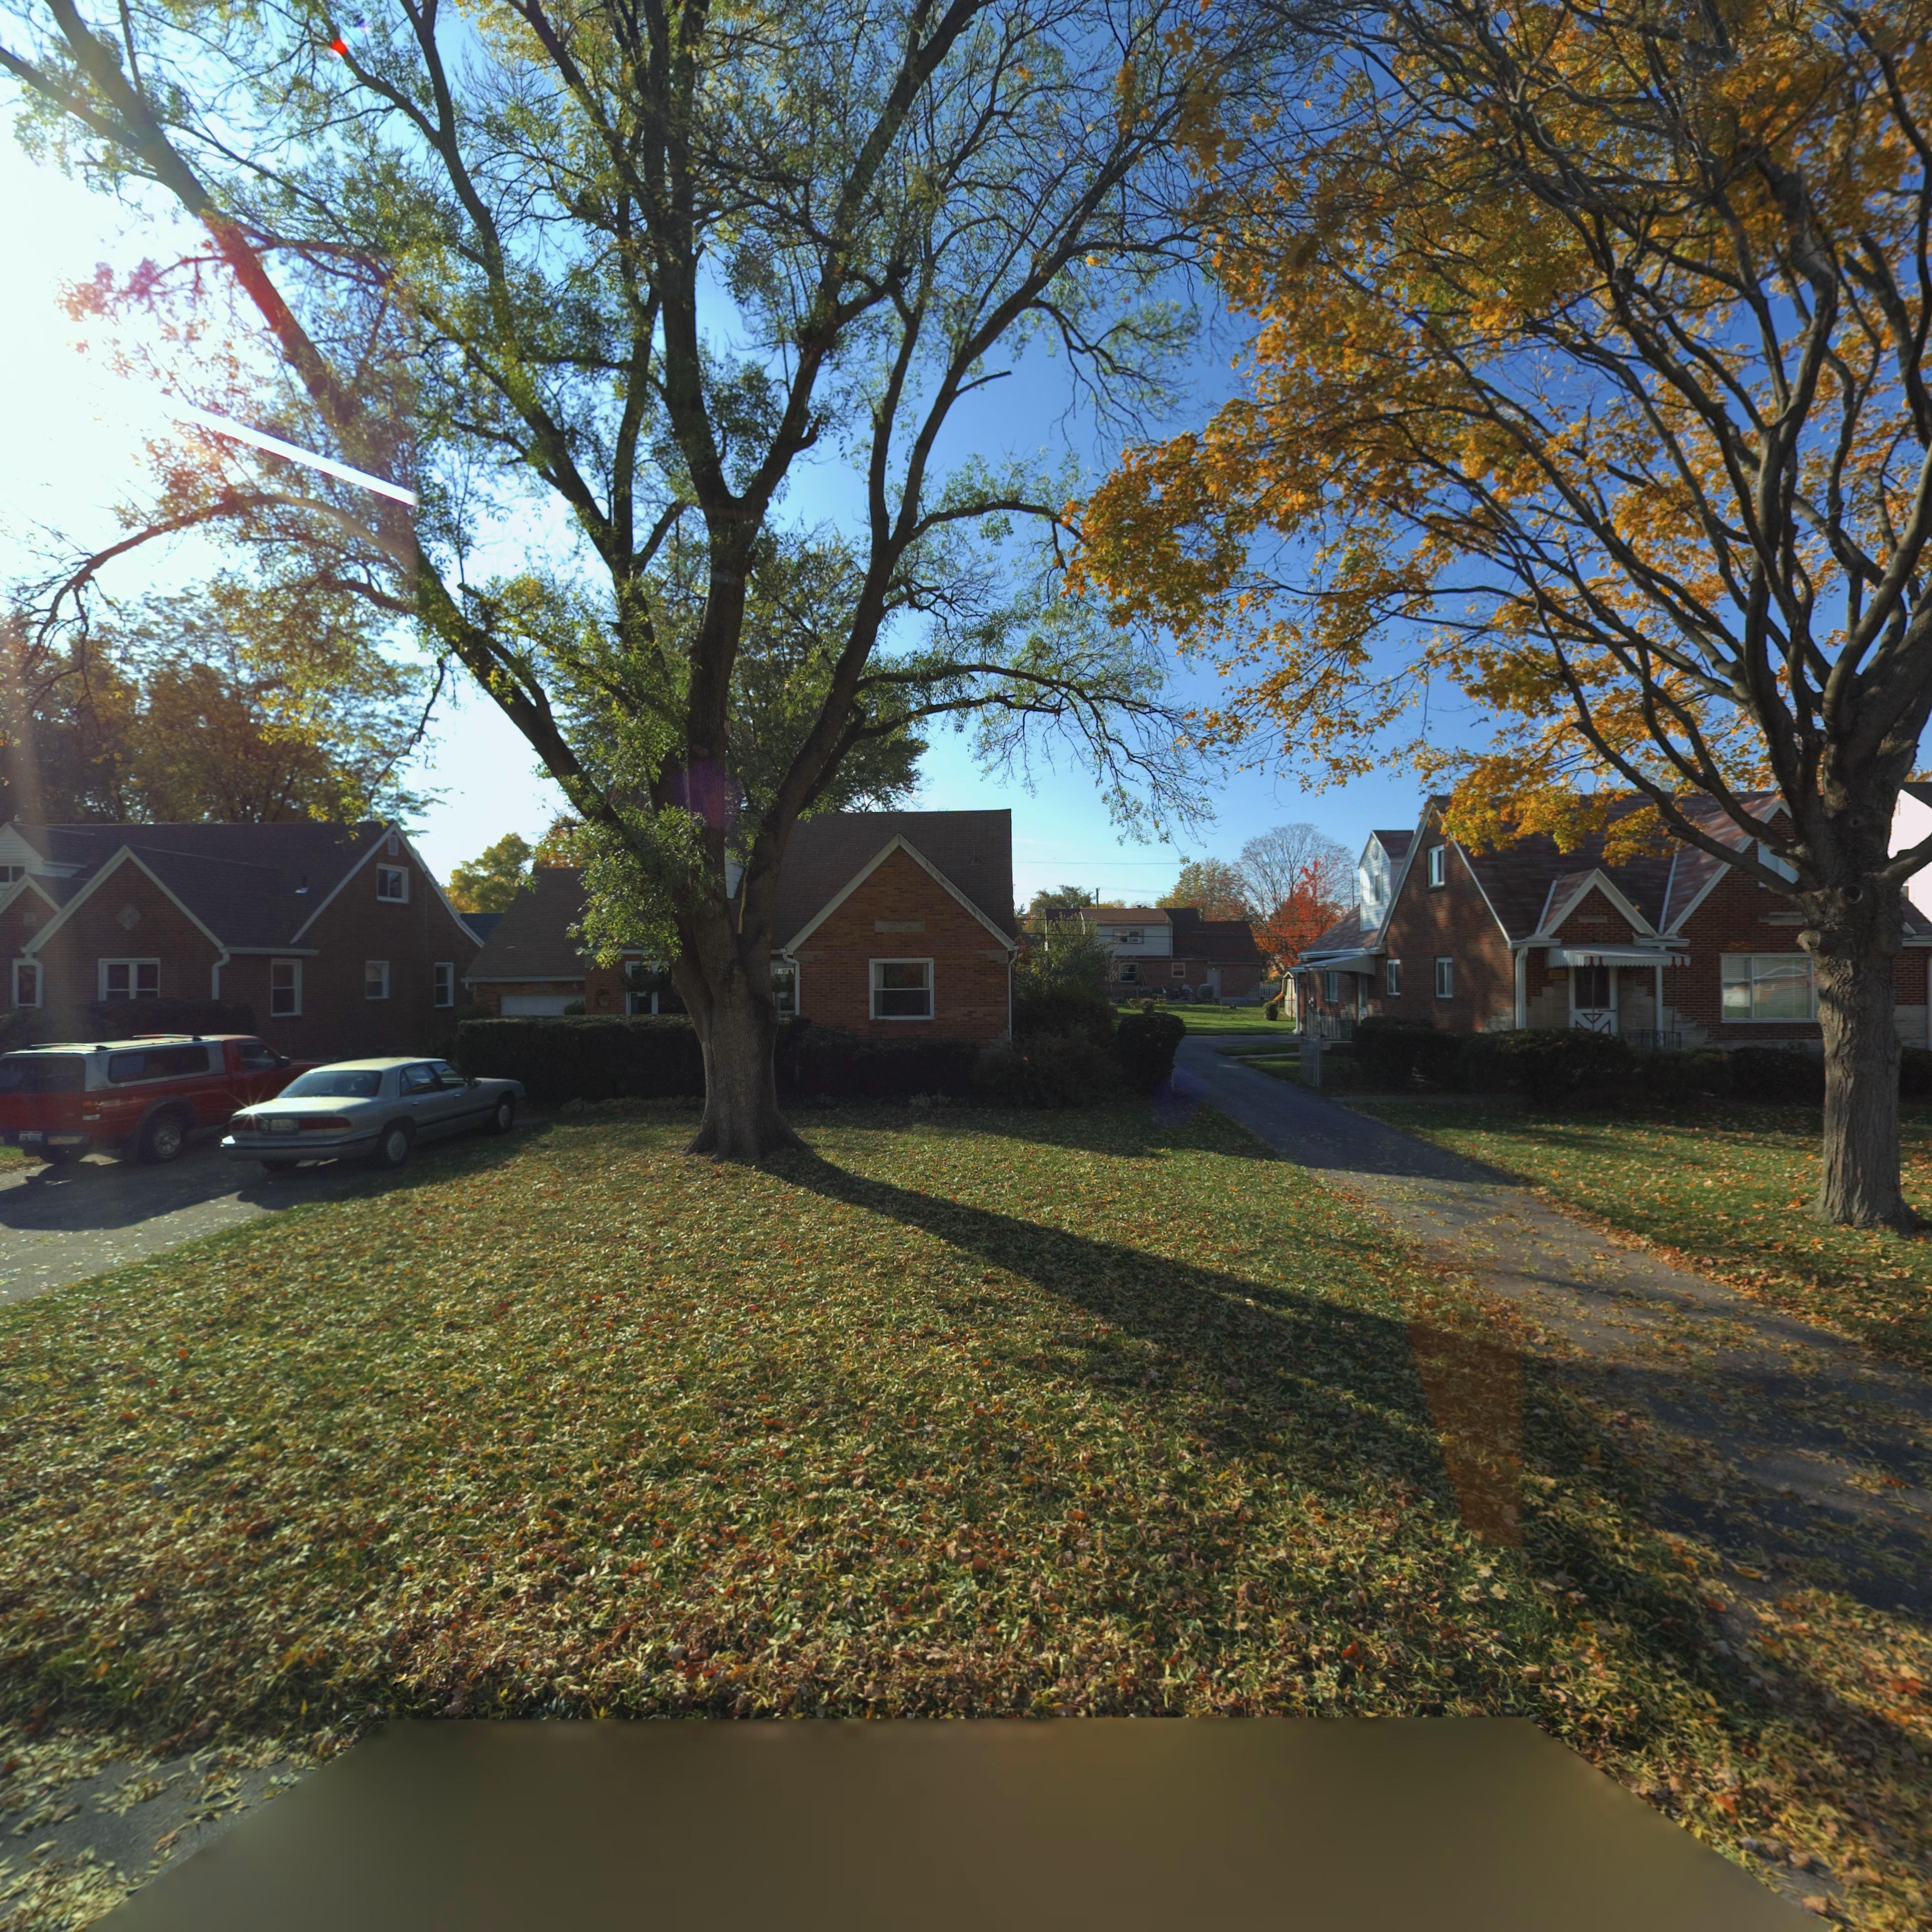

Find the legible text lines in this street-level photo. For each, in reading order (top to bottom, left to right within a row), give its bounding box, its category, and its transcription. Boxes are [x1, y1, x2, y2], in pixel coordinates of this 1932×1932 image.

[1550, 970, 1565, 977] StreetNumber: 32**